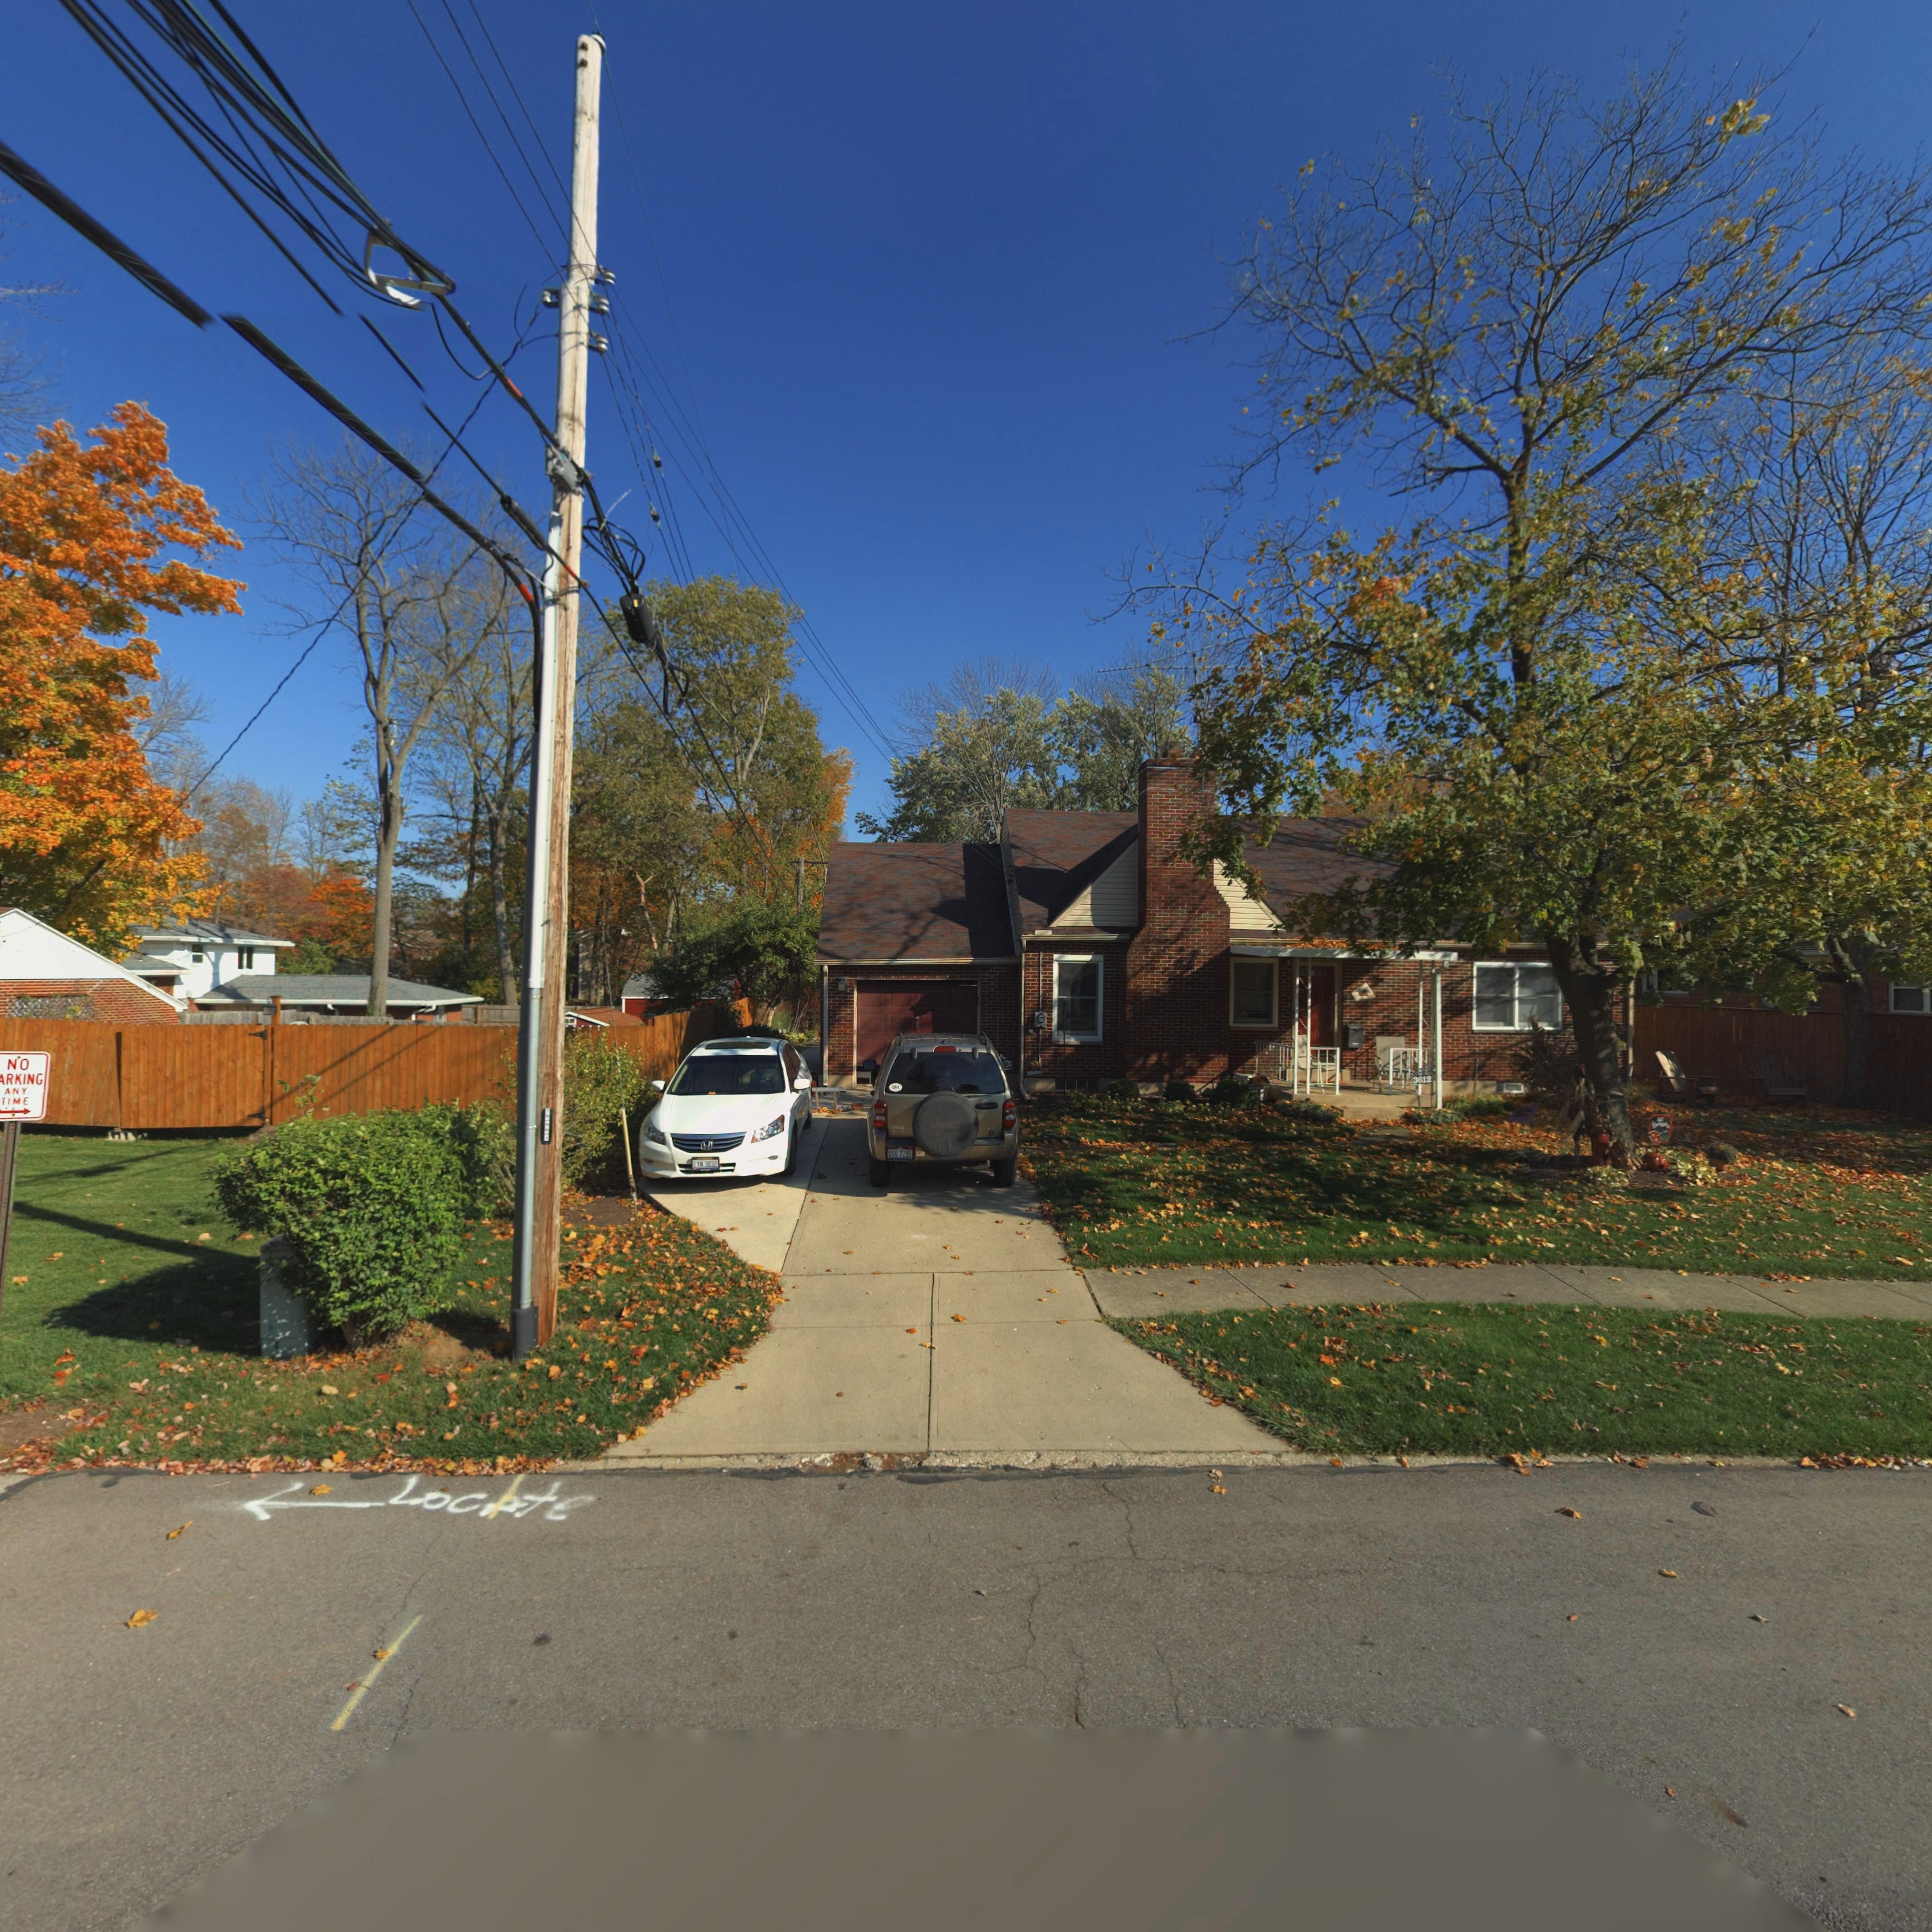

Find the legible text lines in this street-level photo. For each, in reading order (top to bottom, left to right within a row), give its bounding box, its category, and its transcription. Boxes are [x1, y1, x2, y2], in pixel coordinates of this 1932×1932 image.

[7, 1058, 30, 1071] None: NO
[6, 1072, 43, 1086] None: RKING
[1412, 1075, 1433, 1084] StreetNumber: 3612
[3, 1087, 28, 1095] None: ANY
[891, 1085, 900, 1089] None: OBX
[0, 1096, 30, 1106] None: TIME
[891, 1124, 906, 1131] None: Jeep
[931, 1118, 962, 1132] None: Jeep
[930, 1131, 937, 1136] None: LI
[1647, 1131, 1662, 1145] None: B
[888, 1150, 912, 1158] None: DSU*7795
[693, 1160, 717, 1169] None: EYN*3832
[386, 1473, 599, 1522] None: Loc*te